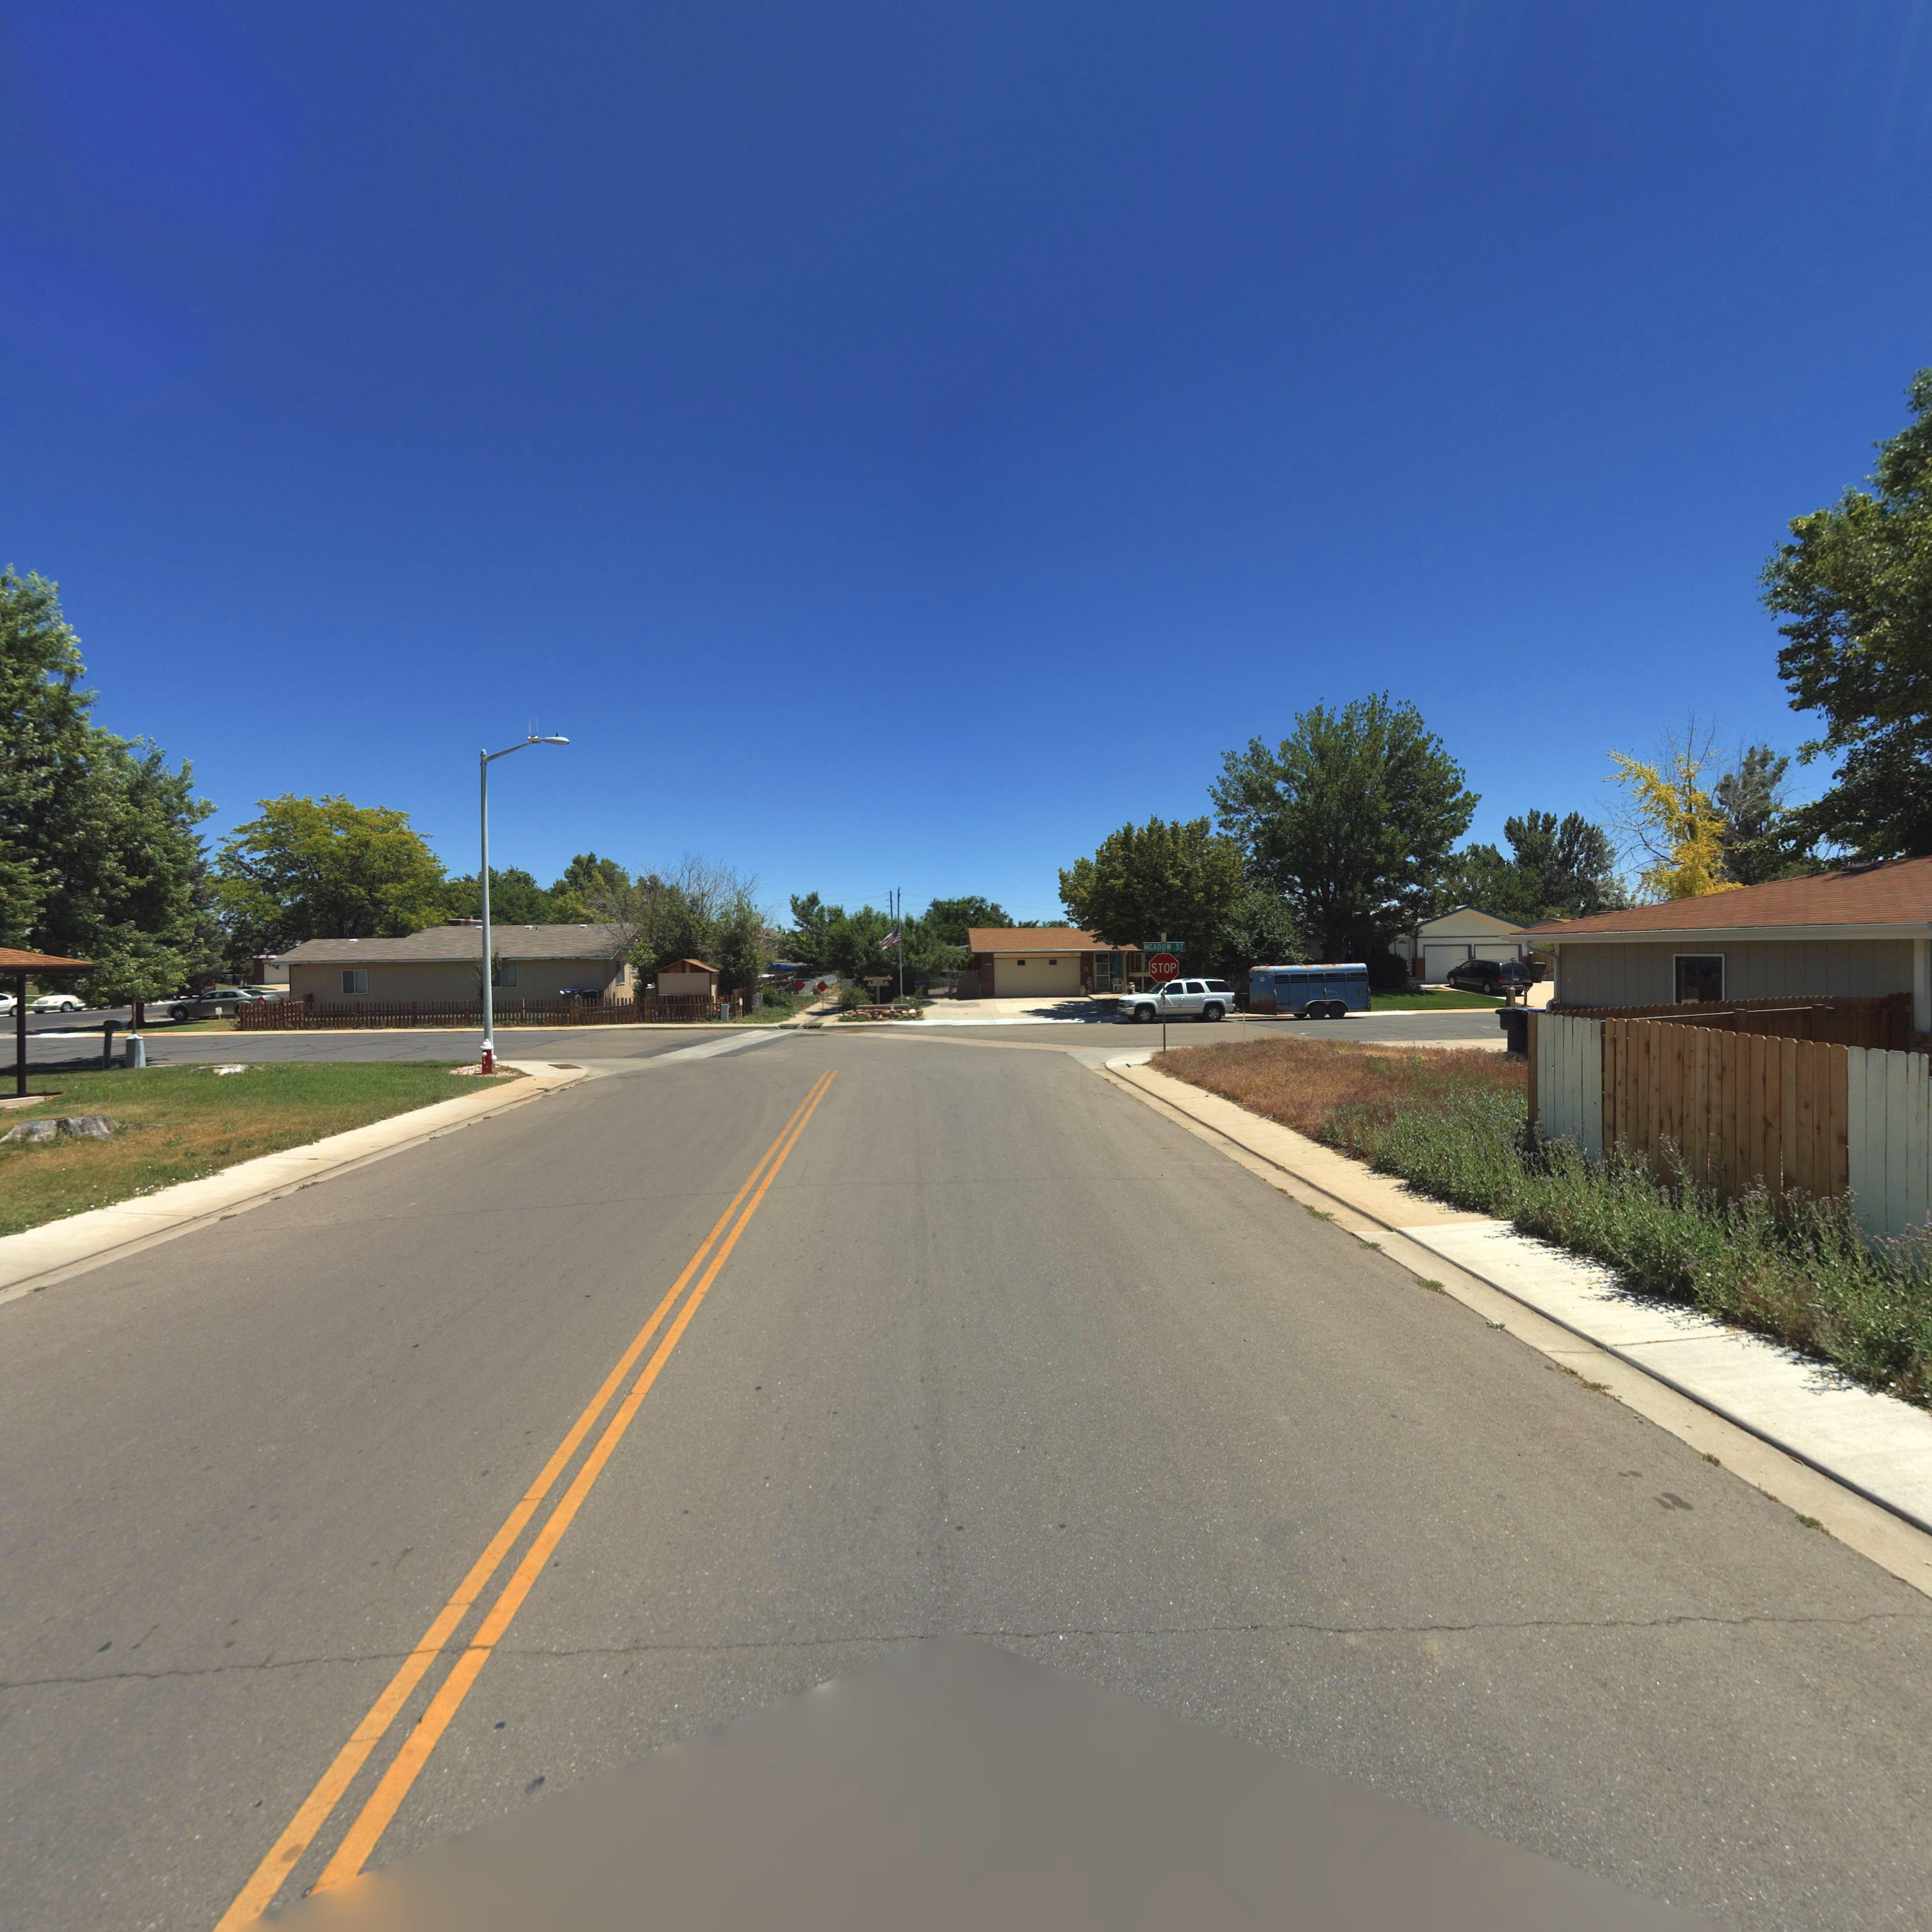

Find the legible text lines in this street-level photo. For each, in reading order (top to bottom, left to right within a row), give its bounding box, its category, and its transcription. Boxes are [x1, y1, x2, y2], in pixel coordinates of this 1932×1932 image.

[1143, 943, 1184, 950] StreetName: MEADOW ST